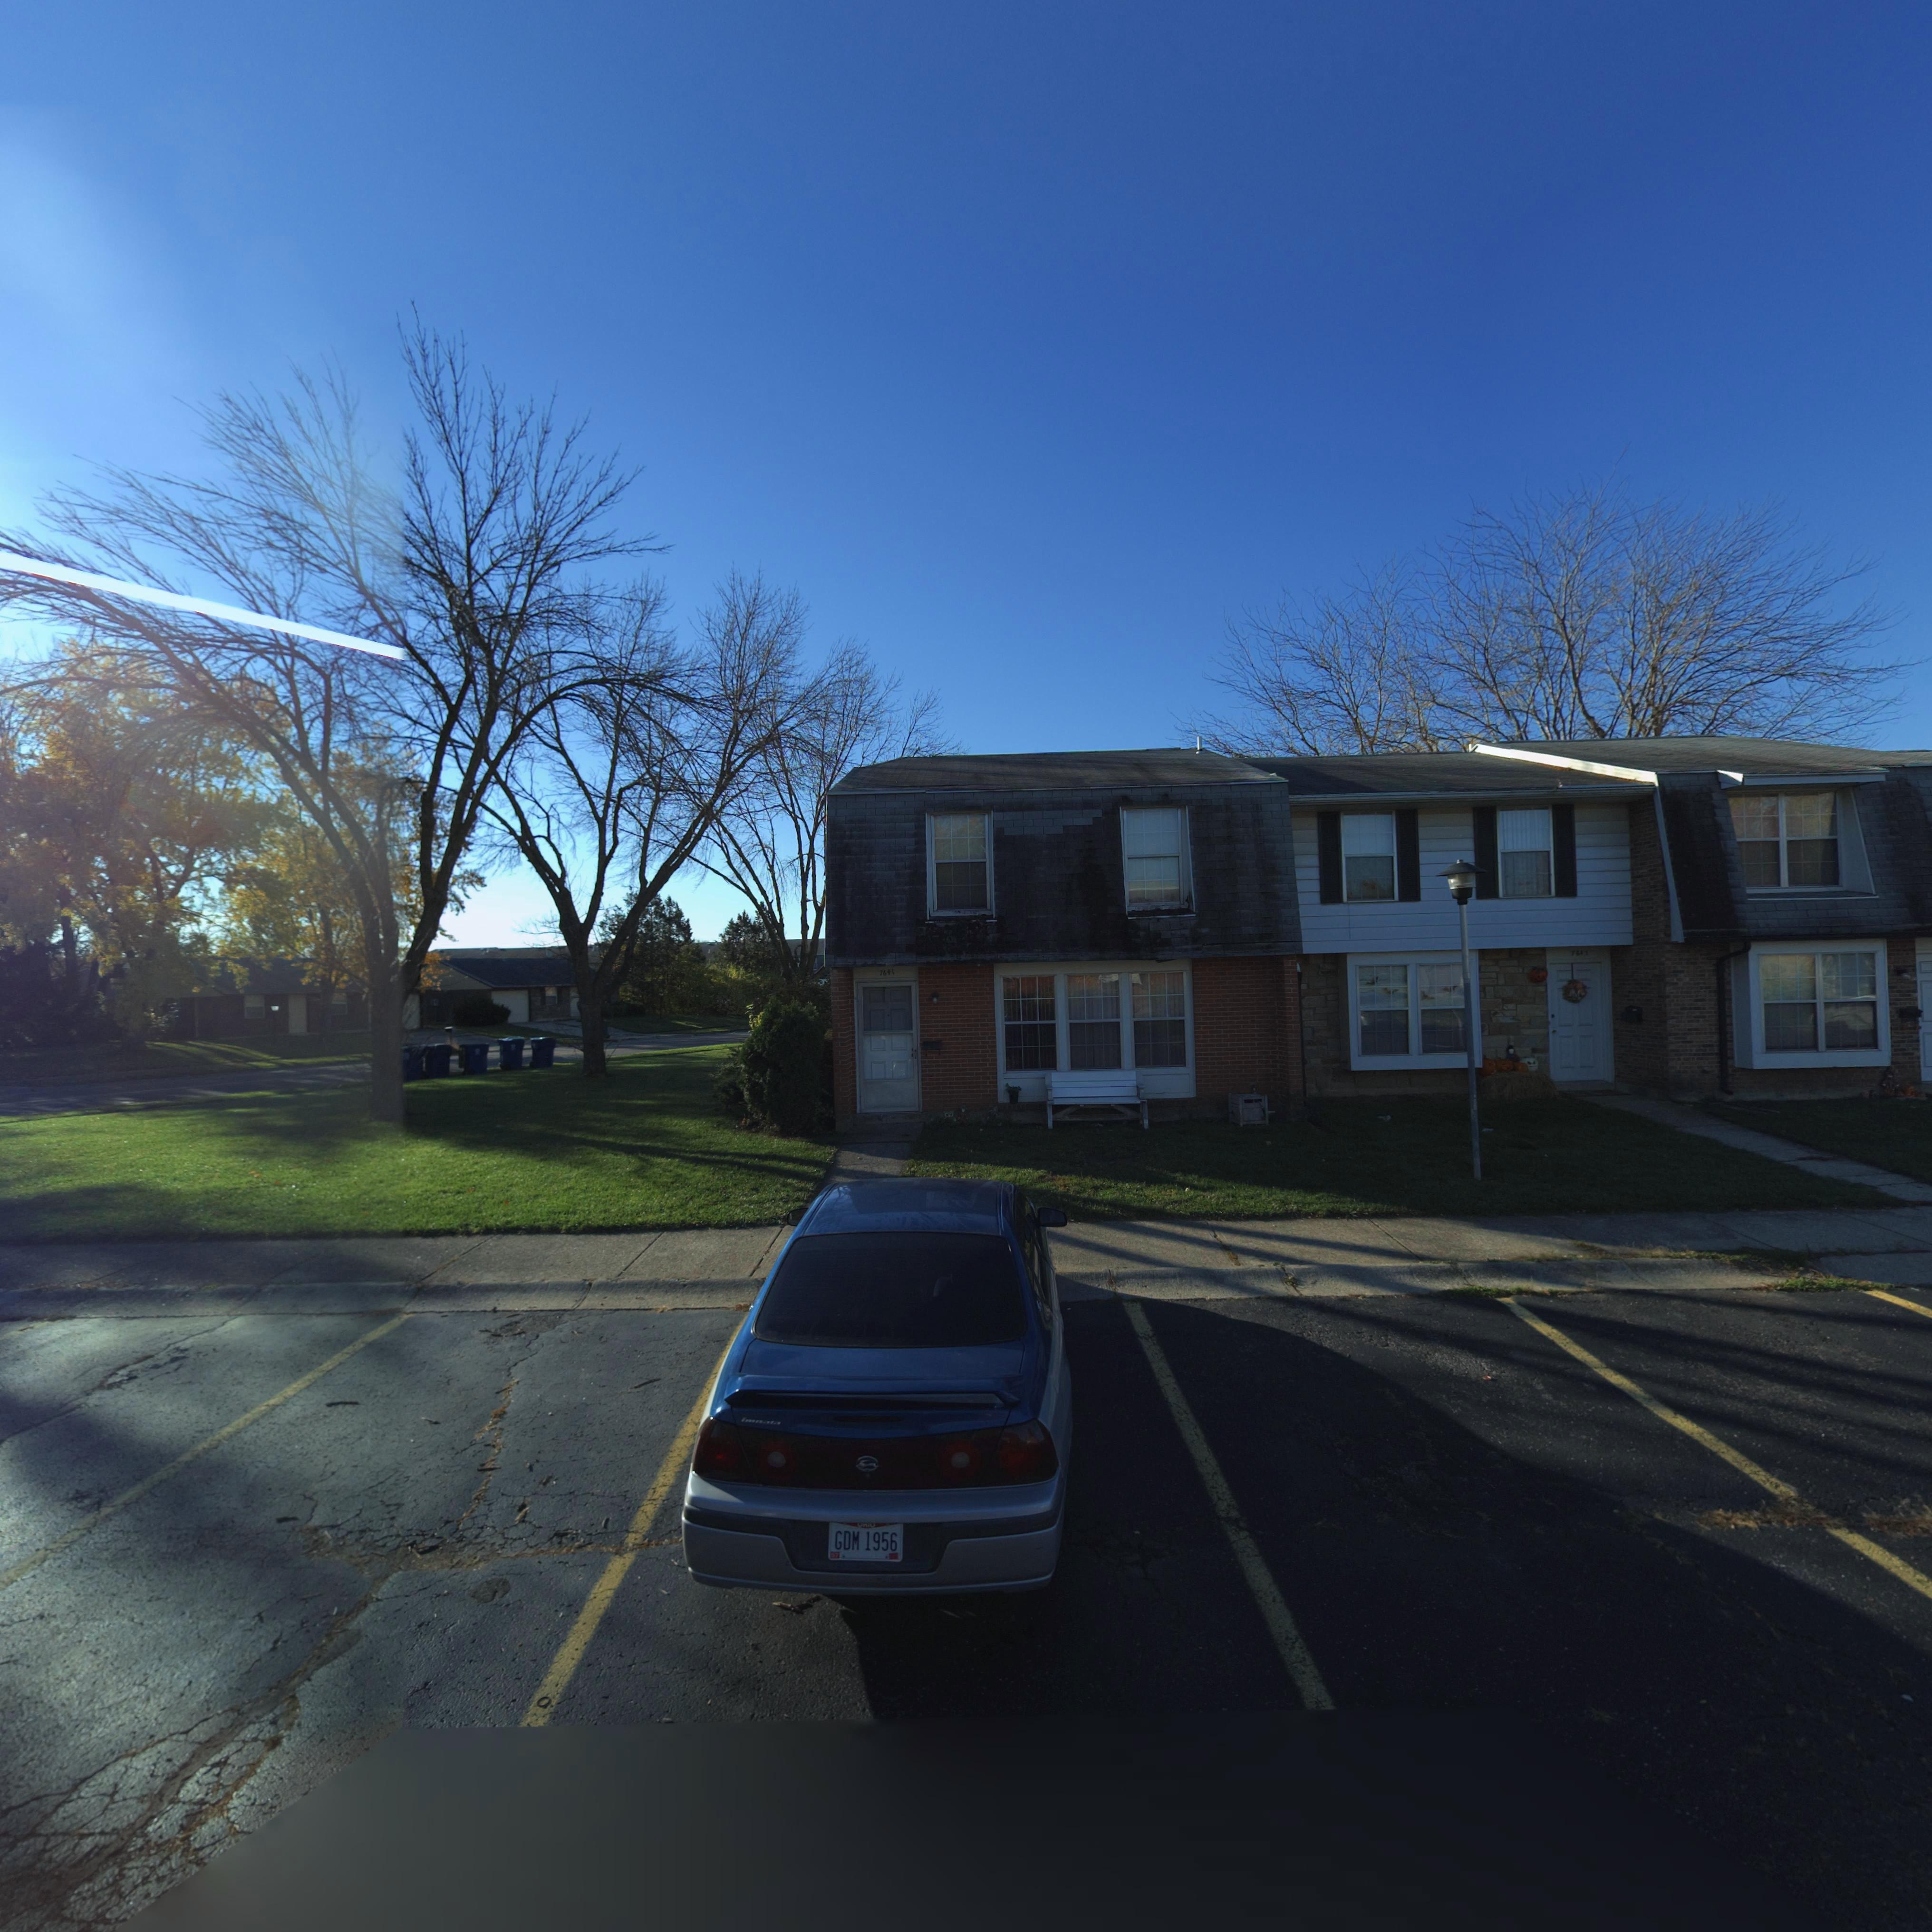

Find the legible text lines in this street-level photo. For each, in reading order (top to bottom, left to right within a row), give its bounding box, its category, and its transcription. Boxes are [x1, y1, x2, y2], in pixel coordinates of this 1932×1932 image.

[1570, 949, 1589, 957] StreetNumber: 7643
[879, 968, 895, 976] StreetNumber: 7641